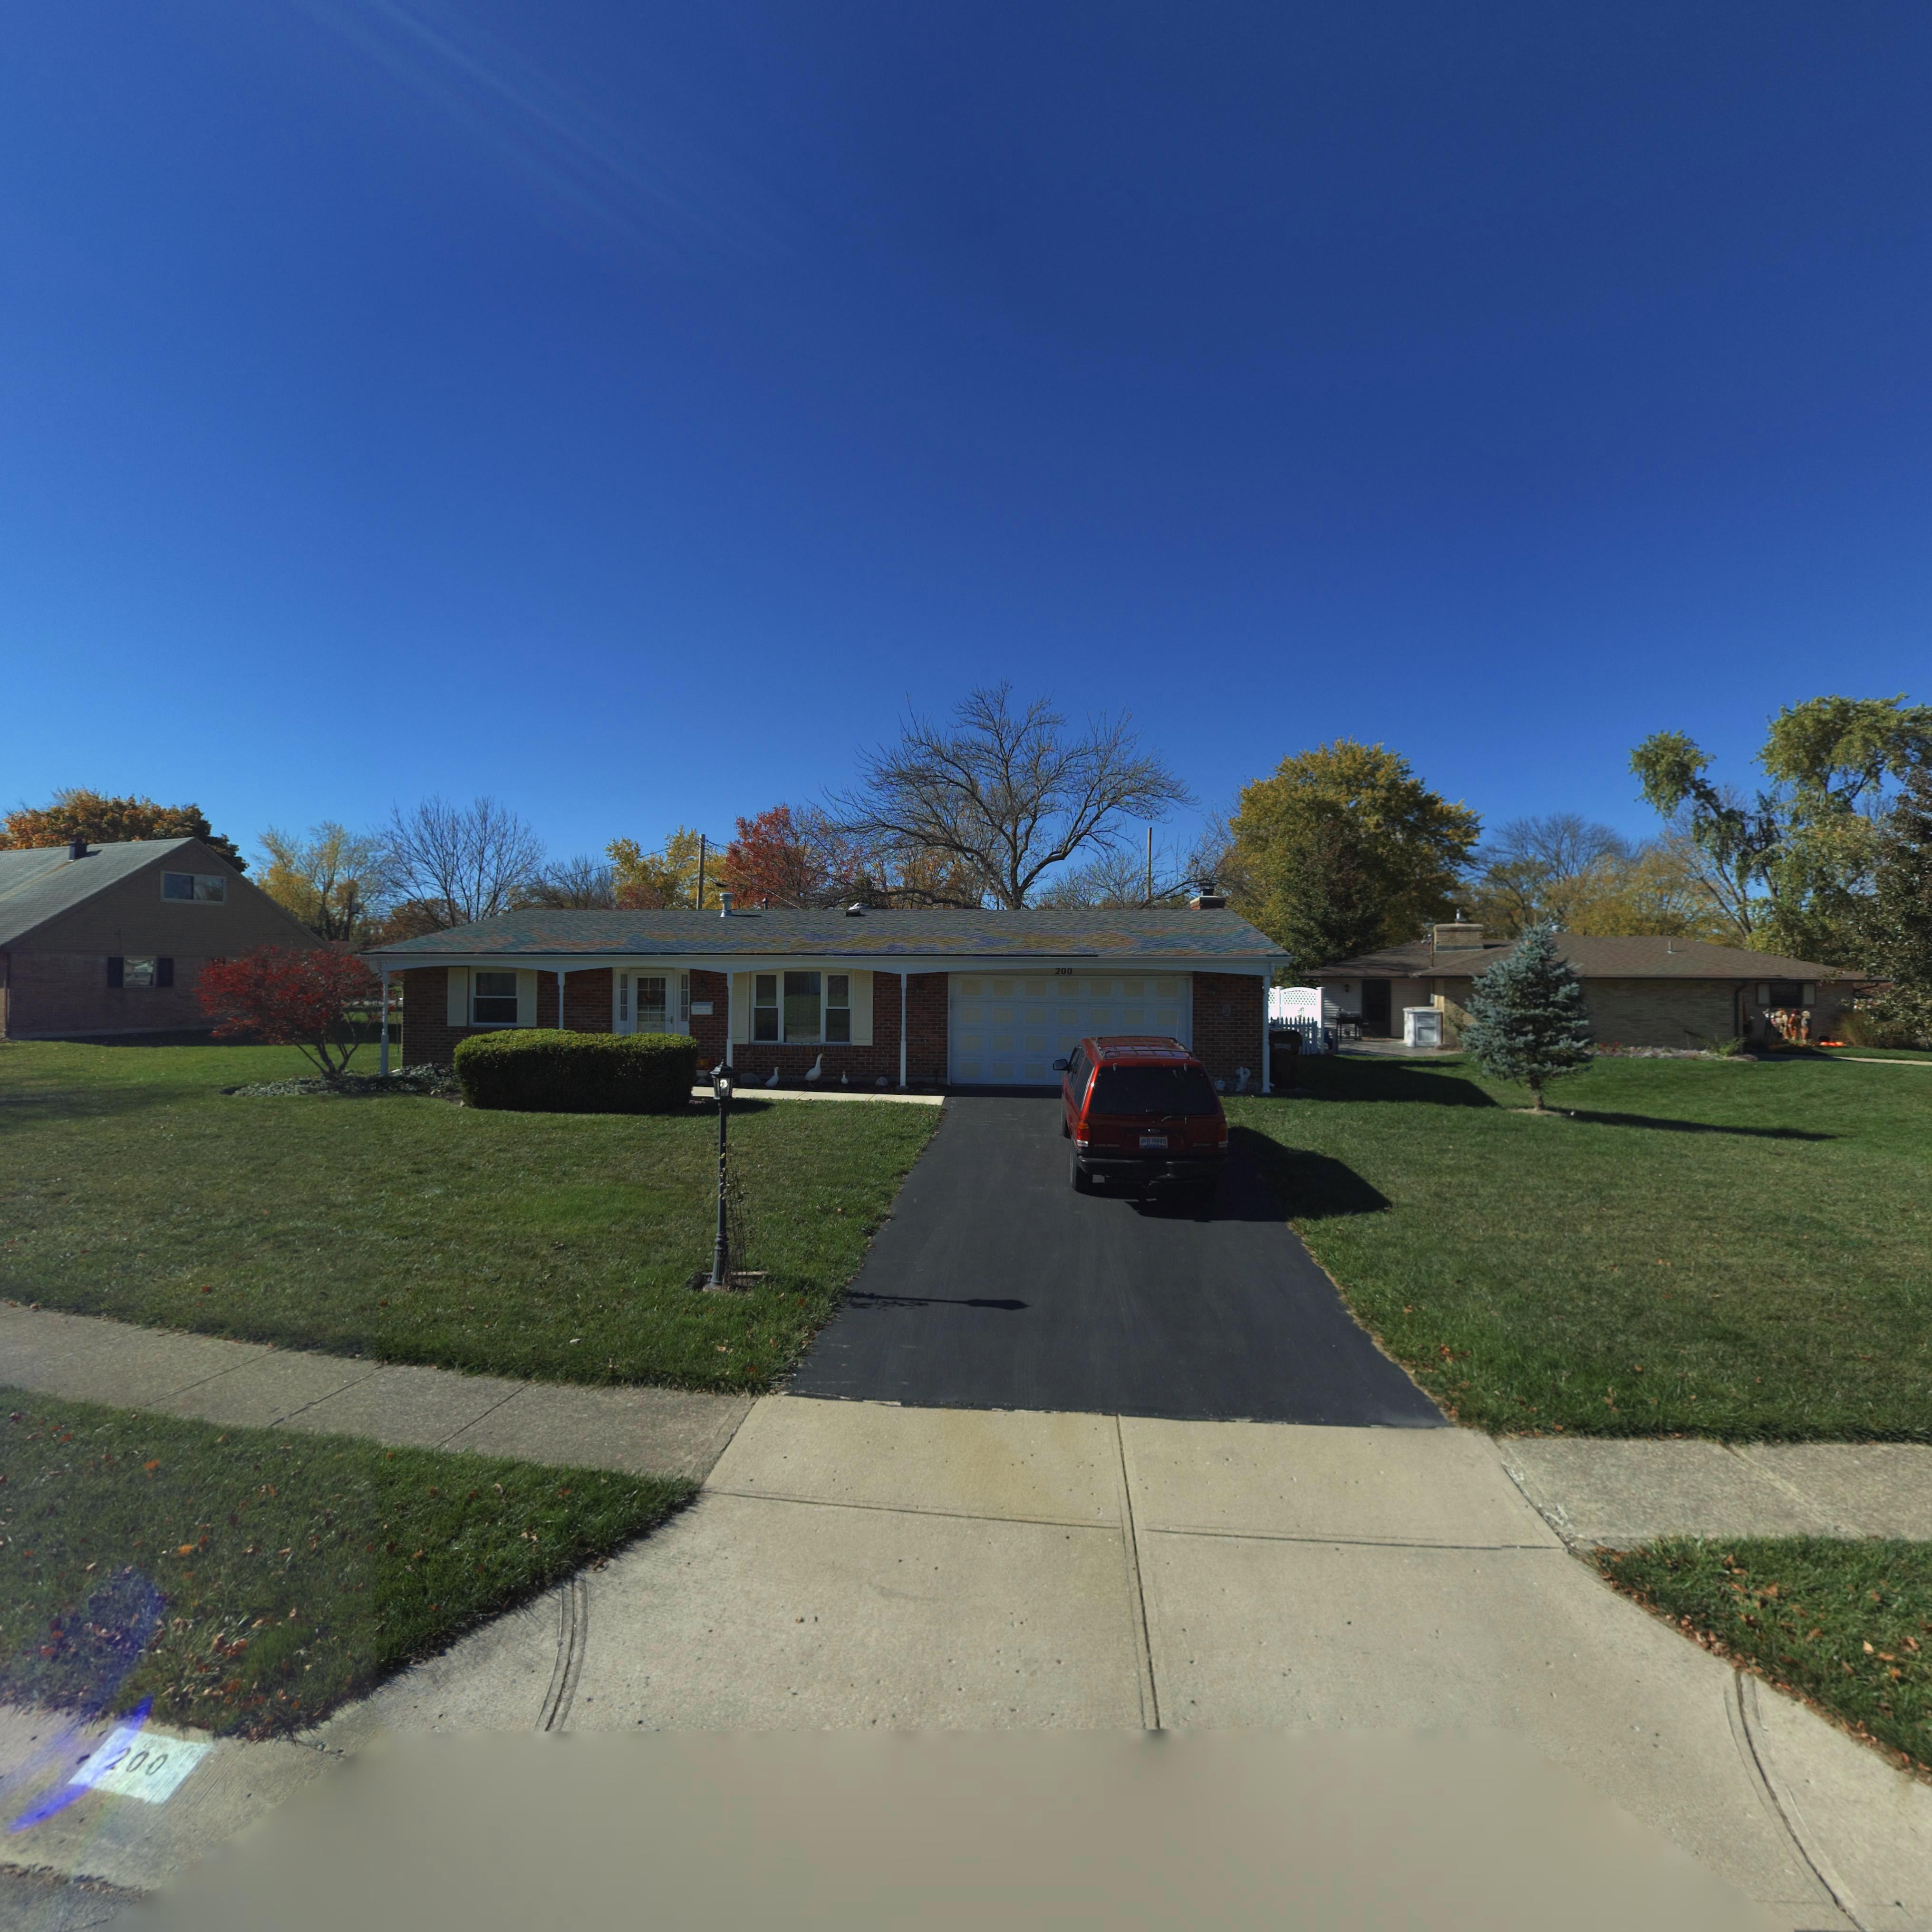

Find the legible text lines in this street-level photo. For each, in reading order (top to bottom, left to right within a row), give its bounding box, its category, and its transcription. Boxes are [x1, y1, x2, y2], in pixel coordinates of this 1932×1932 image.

[1054, 967, 1073, 976] StreetNumber: 200
[102, 1744, 172, 1779] StreetNumber: 200